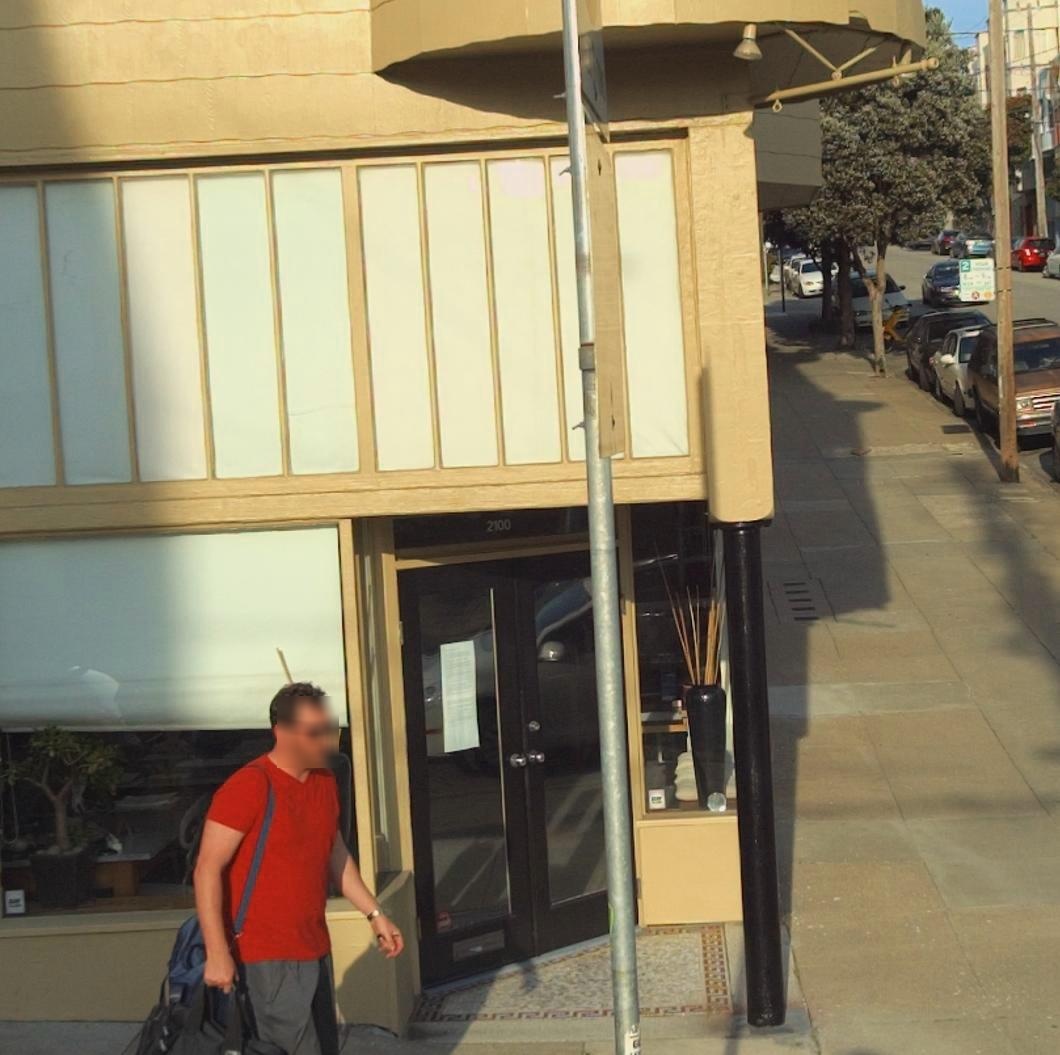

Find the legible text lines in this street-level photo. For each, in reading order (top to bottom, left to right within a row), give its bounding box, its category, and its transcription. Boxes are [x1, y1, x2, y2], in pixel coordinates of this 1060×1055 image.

[485, 515, 512, 535] StreetNumber: 2100